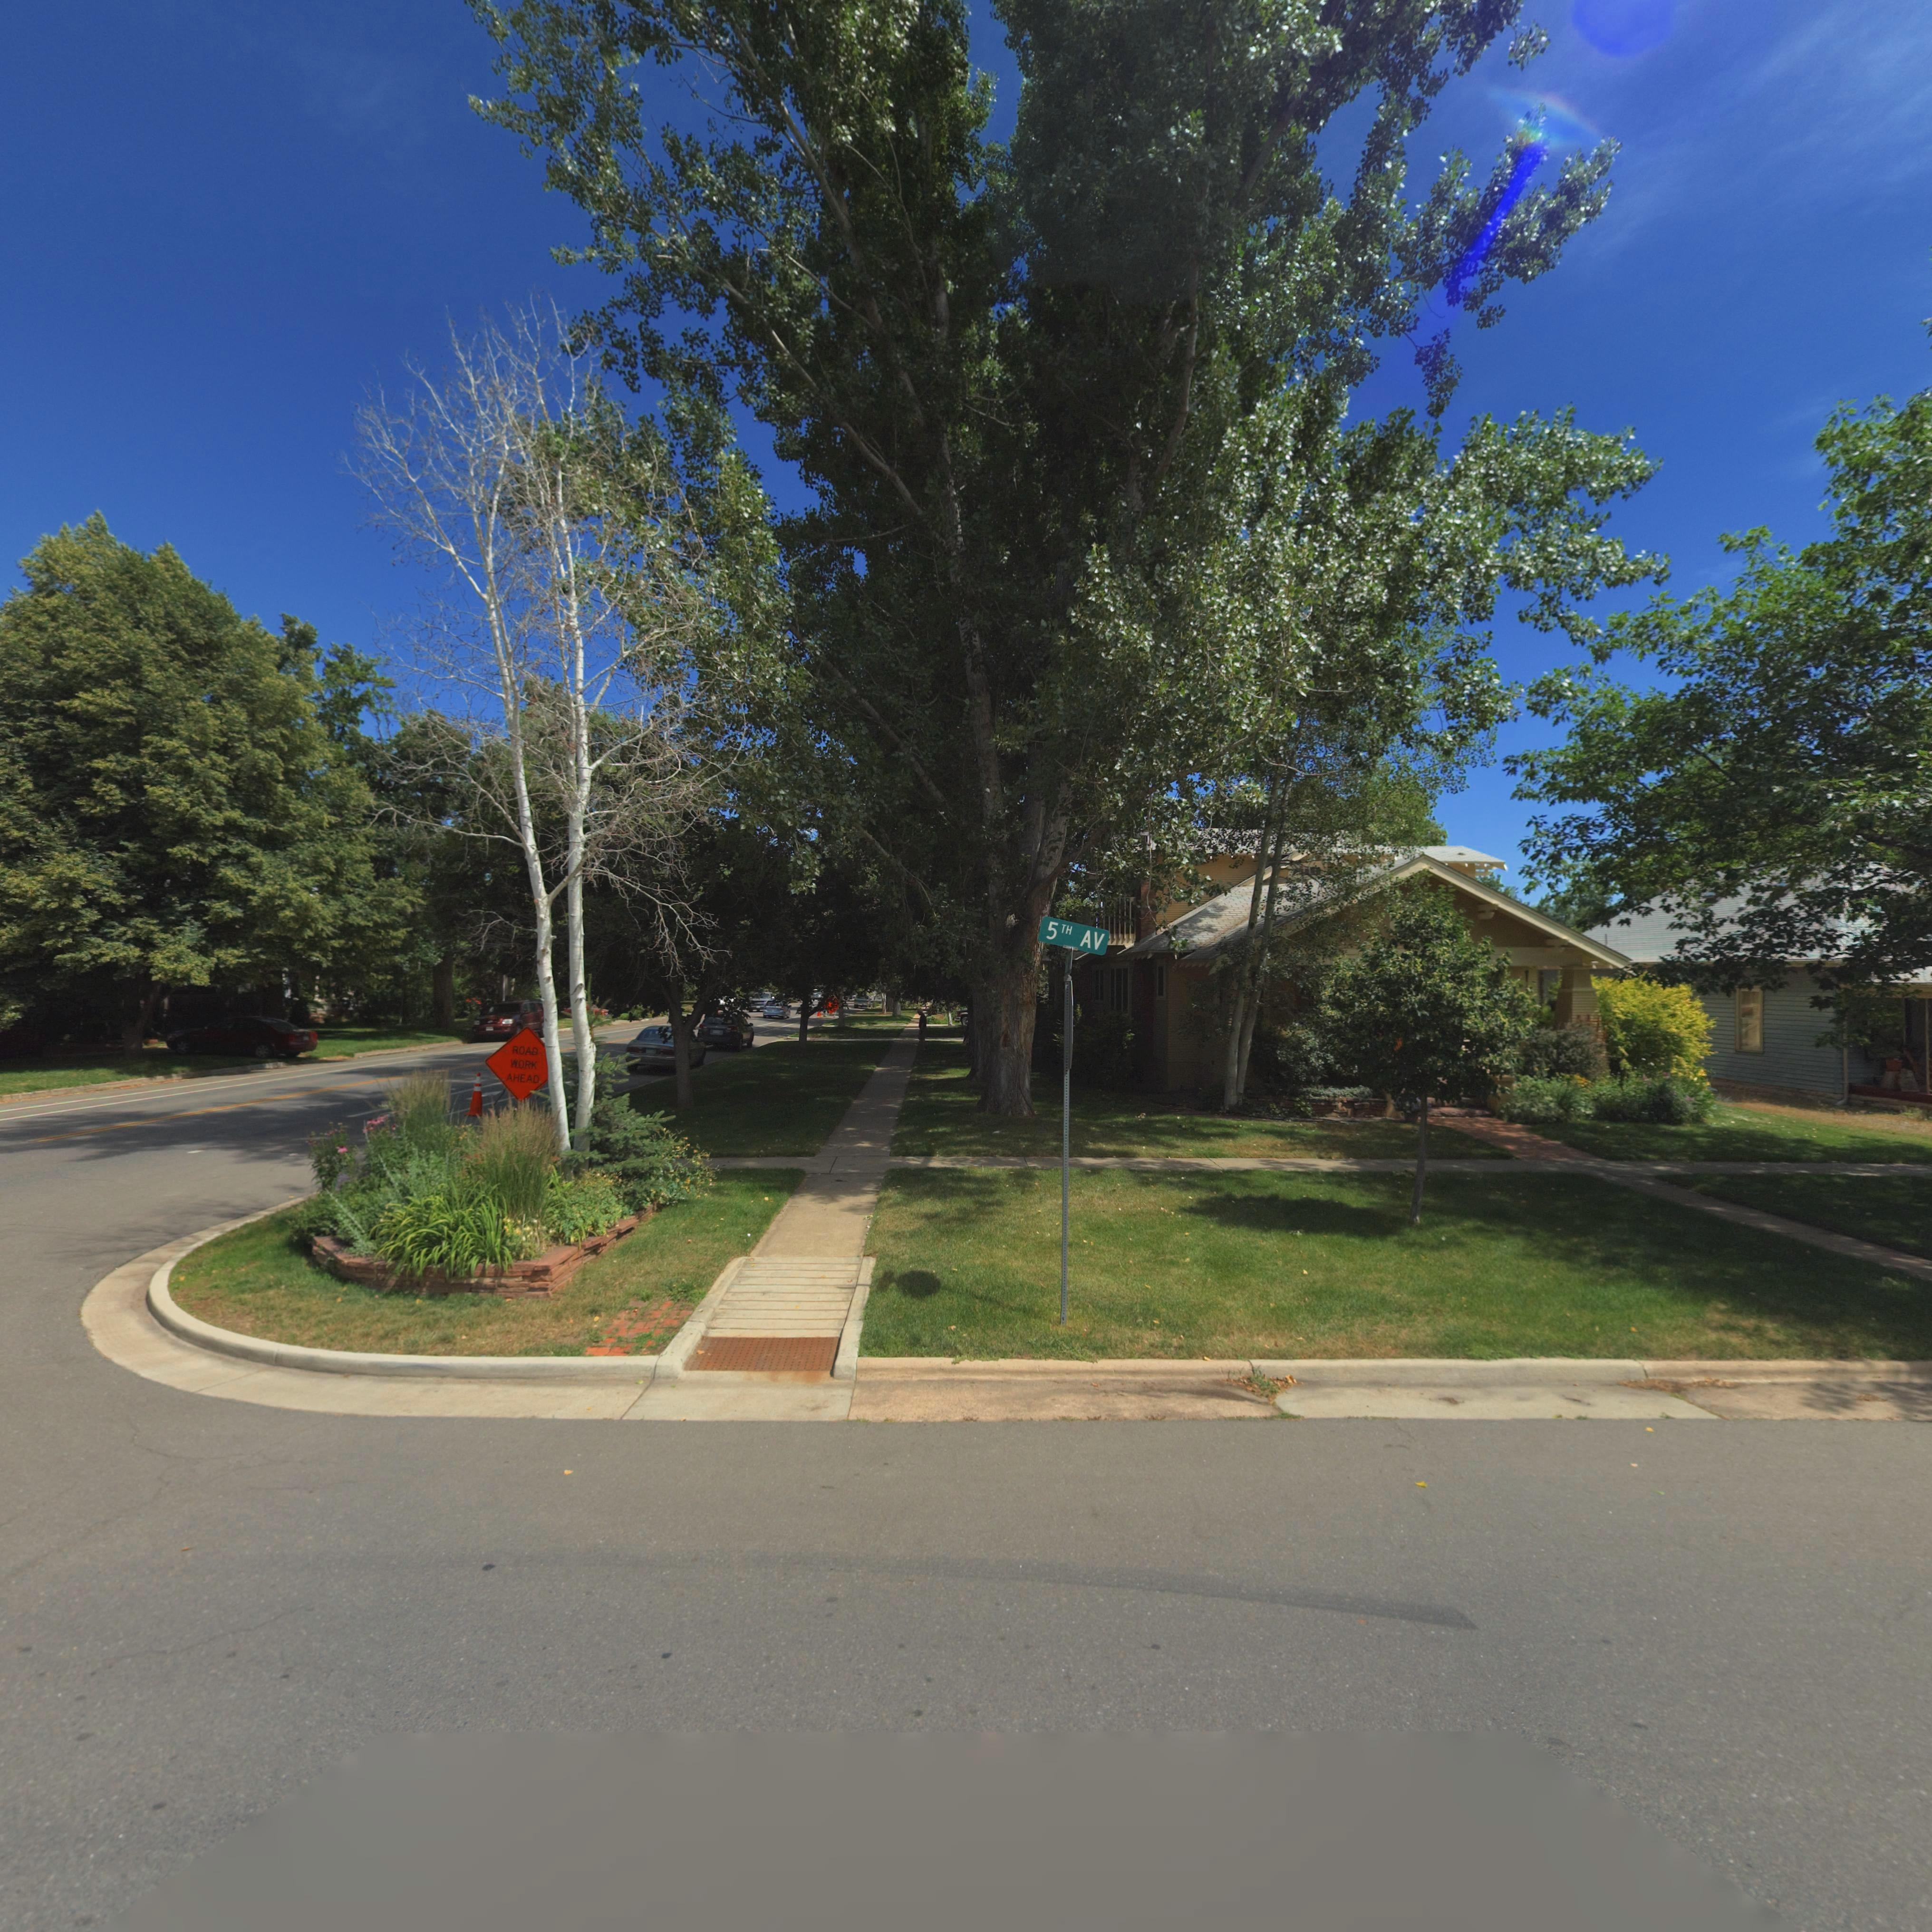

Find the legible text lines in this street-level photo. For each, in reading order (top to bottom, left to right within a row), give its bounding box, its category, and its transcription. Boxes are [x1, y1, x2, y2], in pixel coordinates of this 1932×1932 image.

[1044, 919, 1107, 952] StreetName: 5TH AV